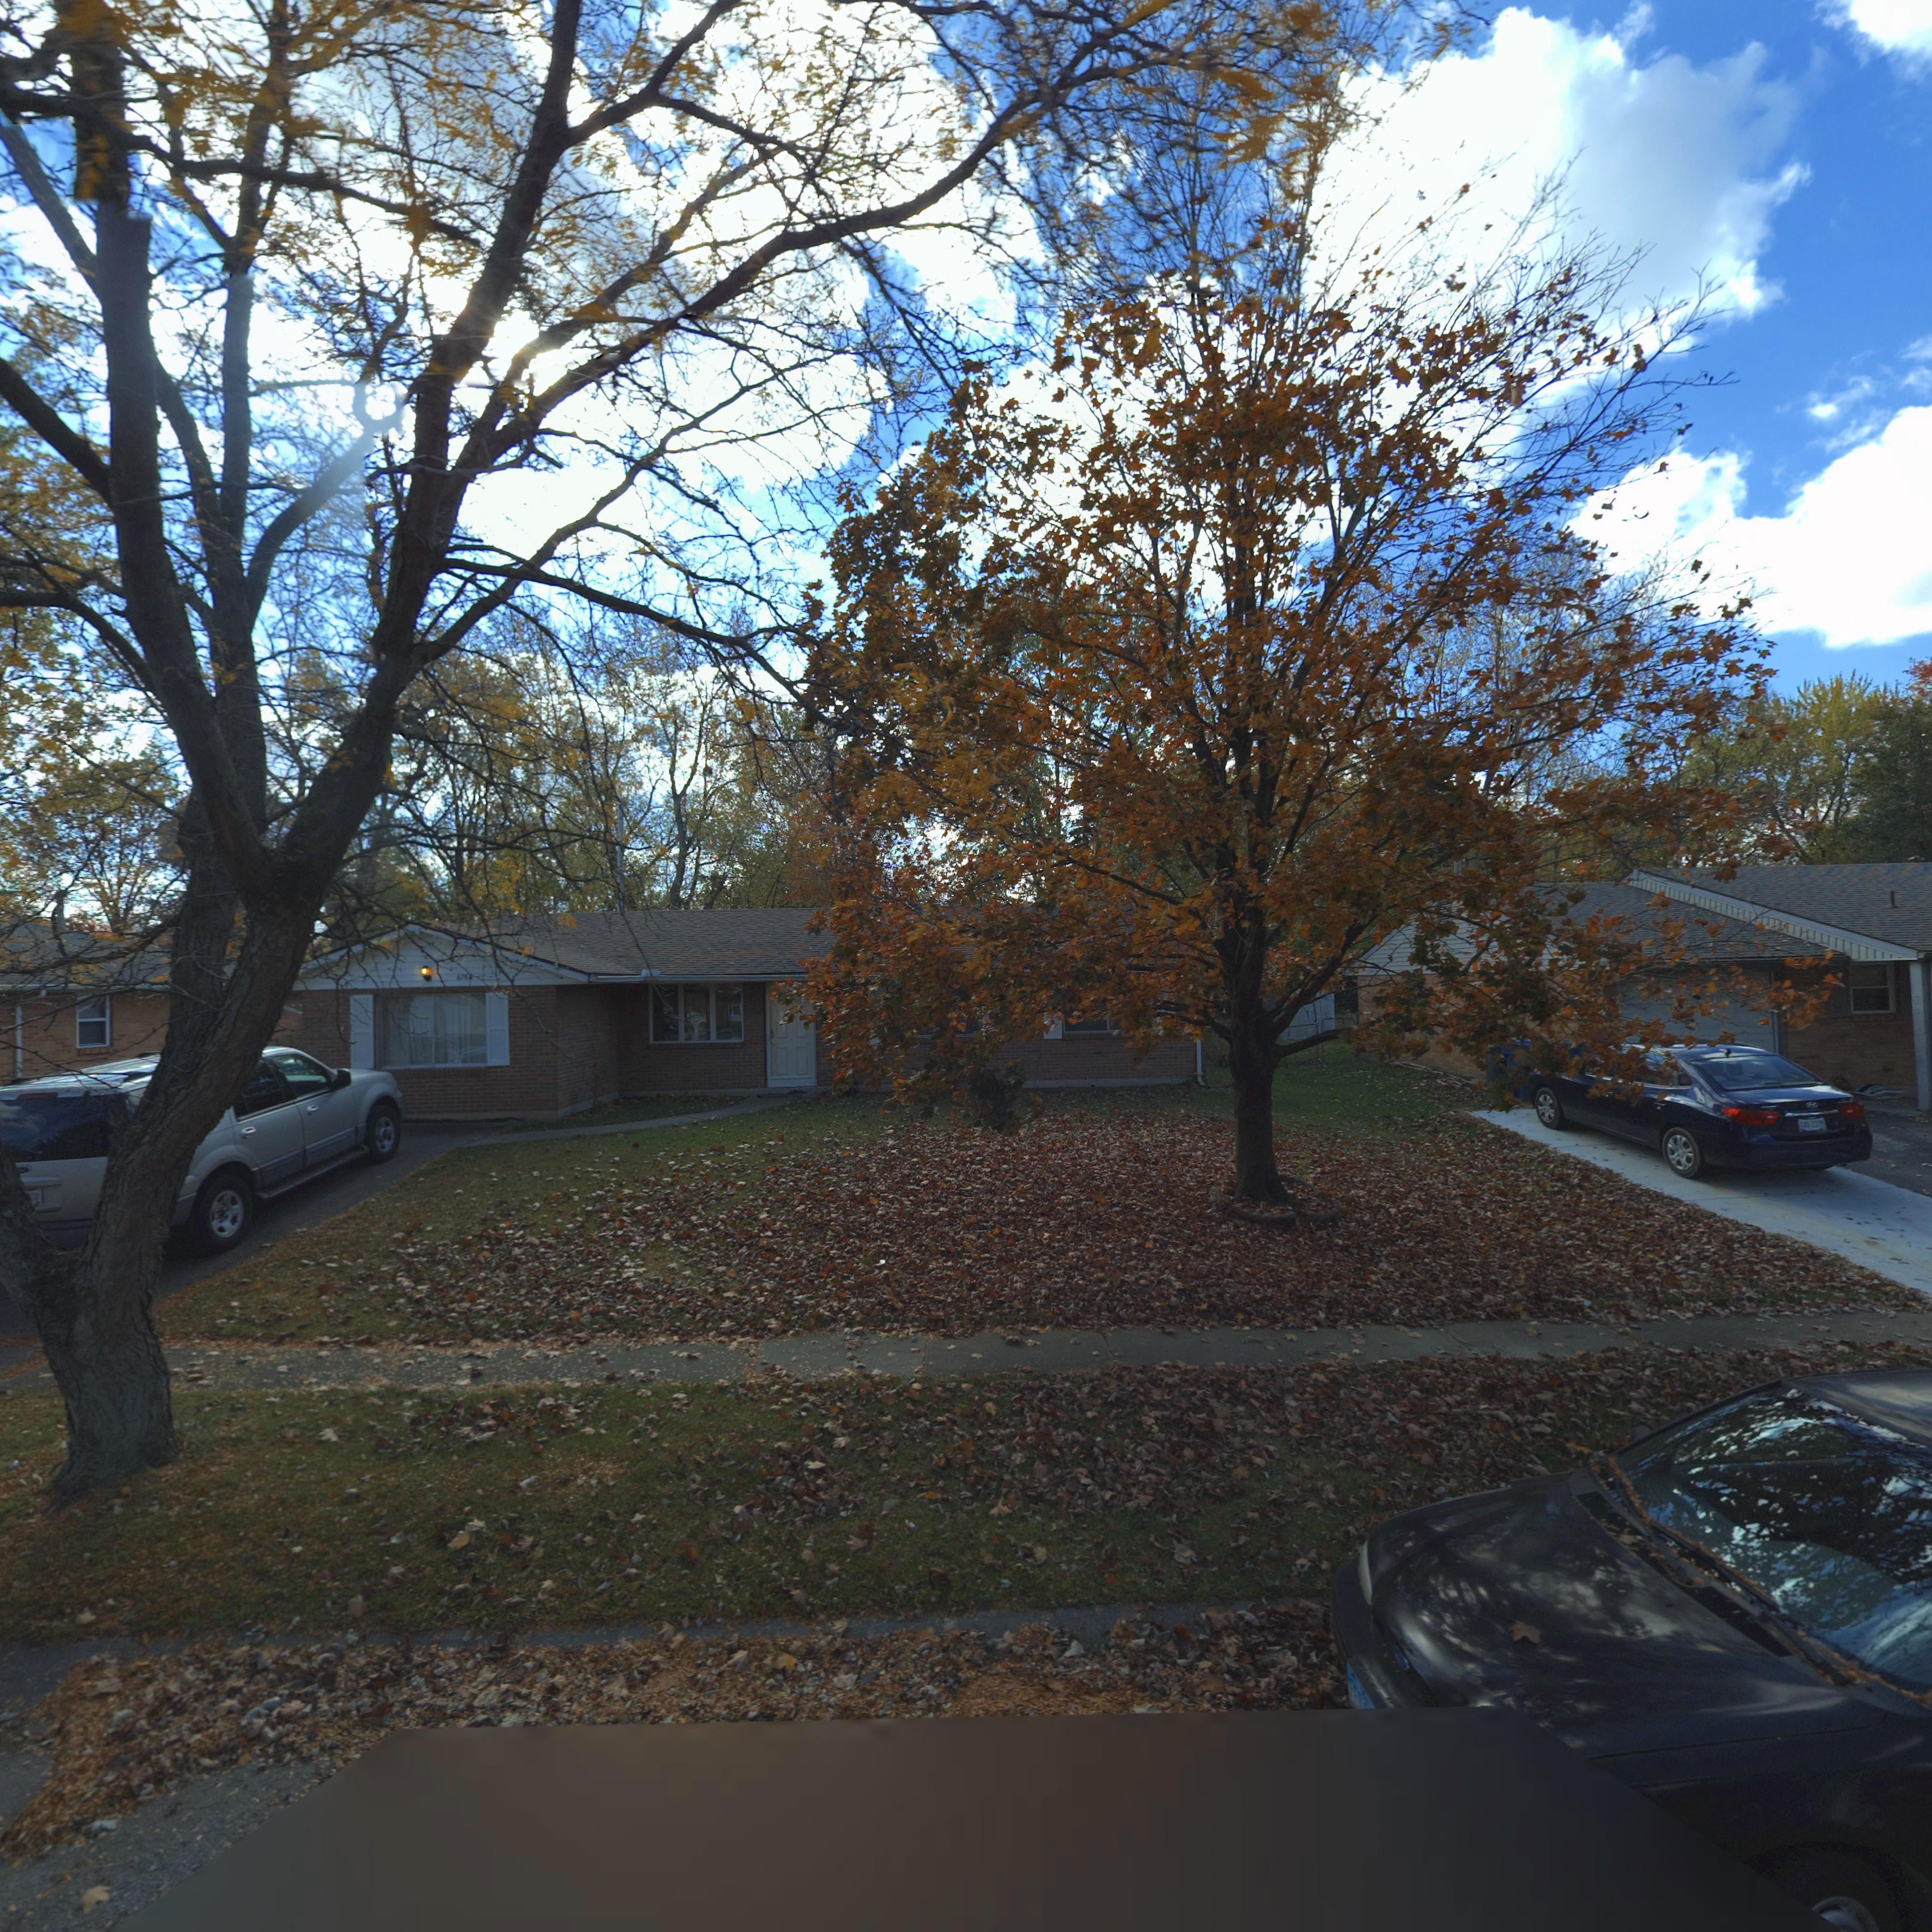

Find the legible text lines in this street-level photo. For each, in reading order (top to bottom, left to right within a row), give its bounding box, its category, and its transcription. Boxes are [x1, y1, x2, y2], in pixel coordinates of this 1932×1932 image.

[456, 973, 473, 981] StreetNumber: 676*